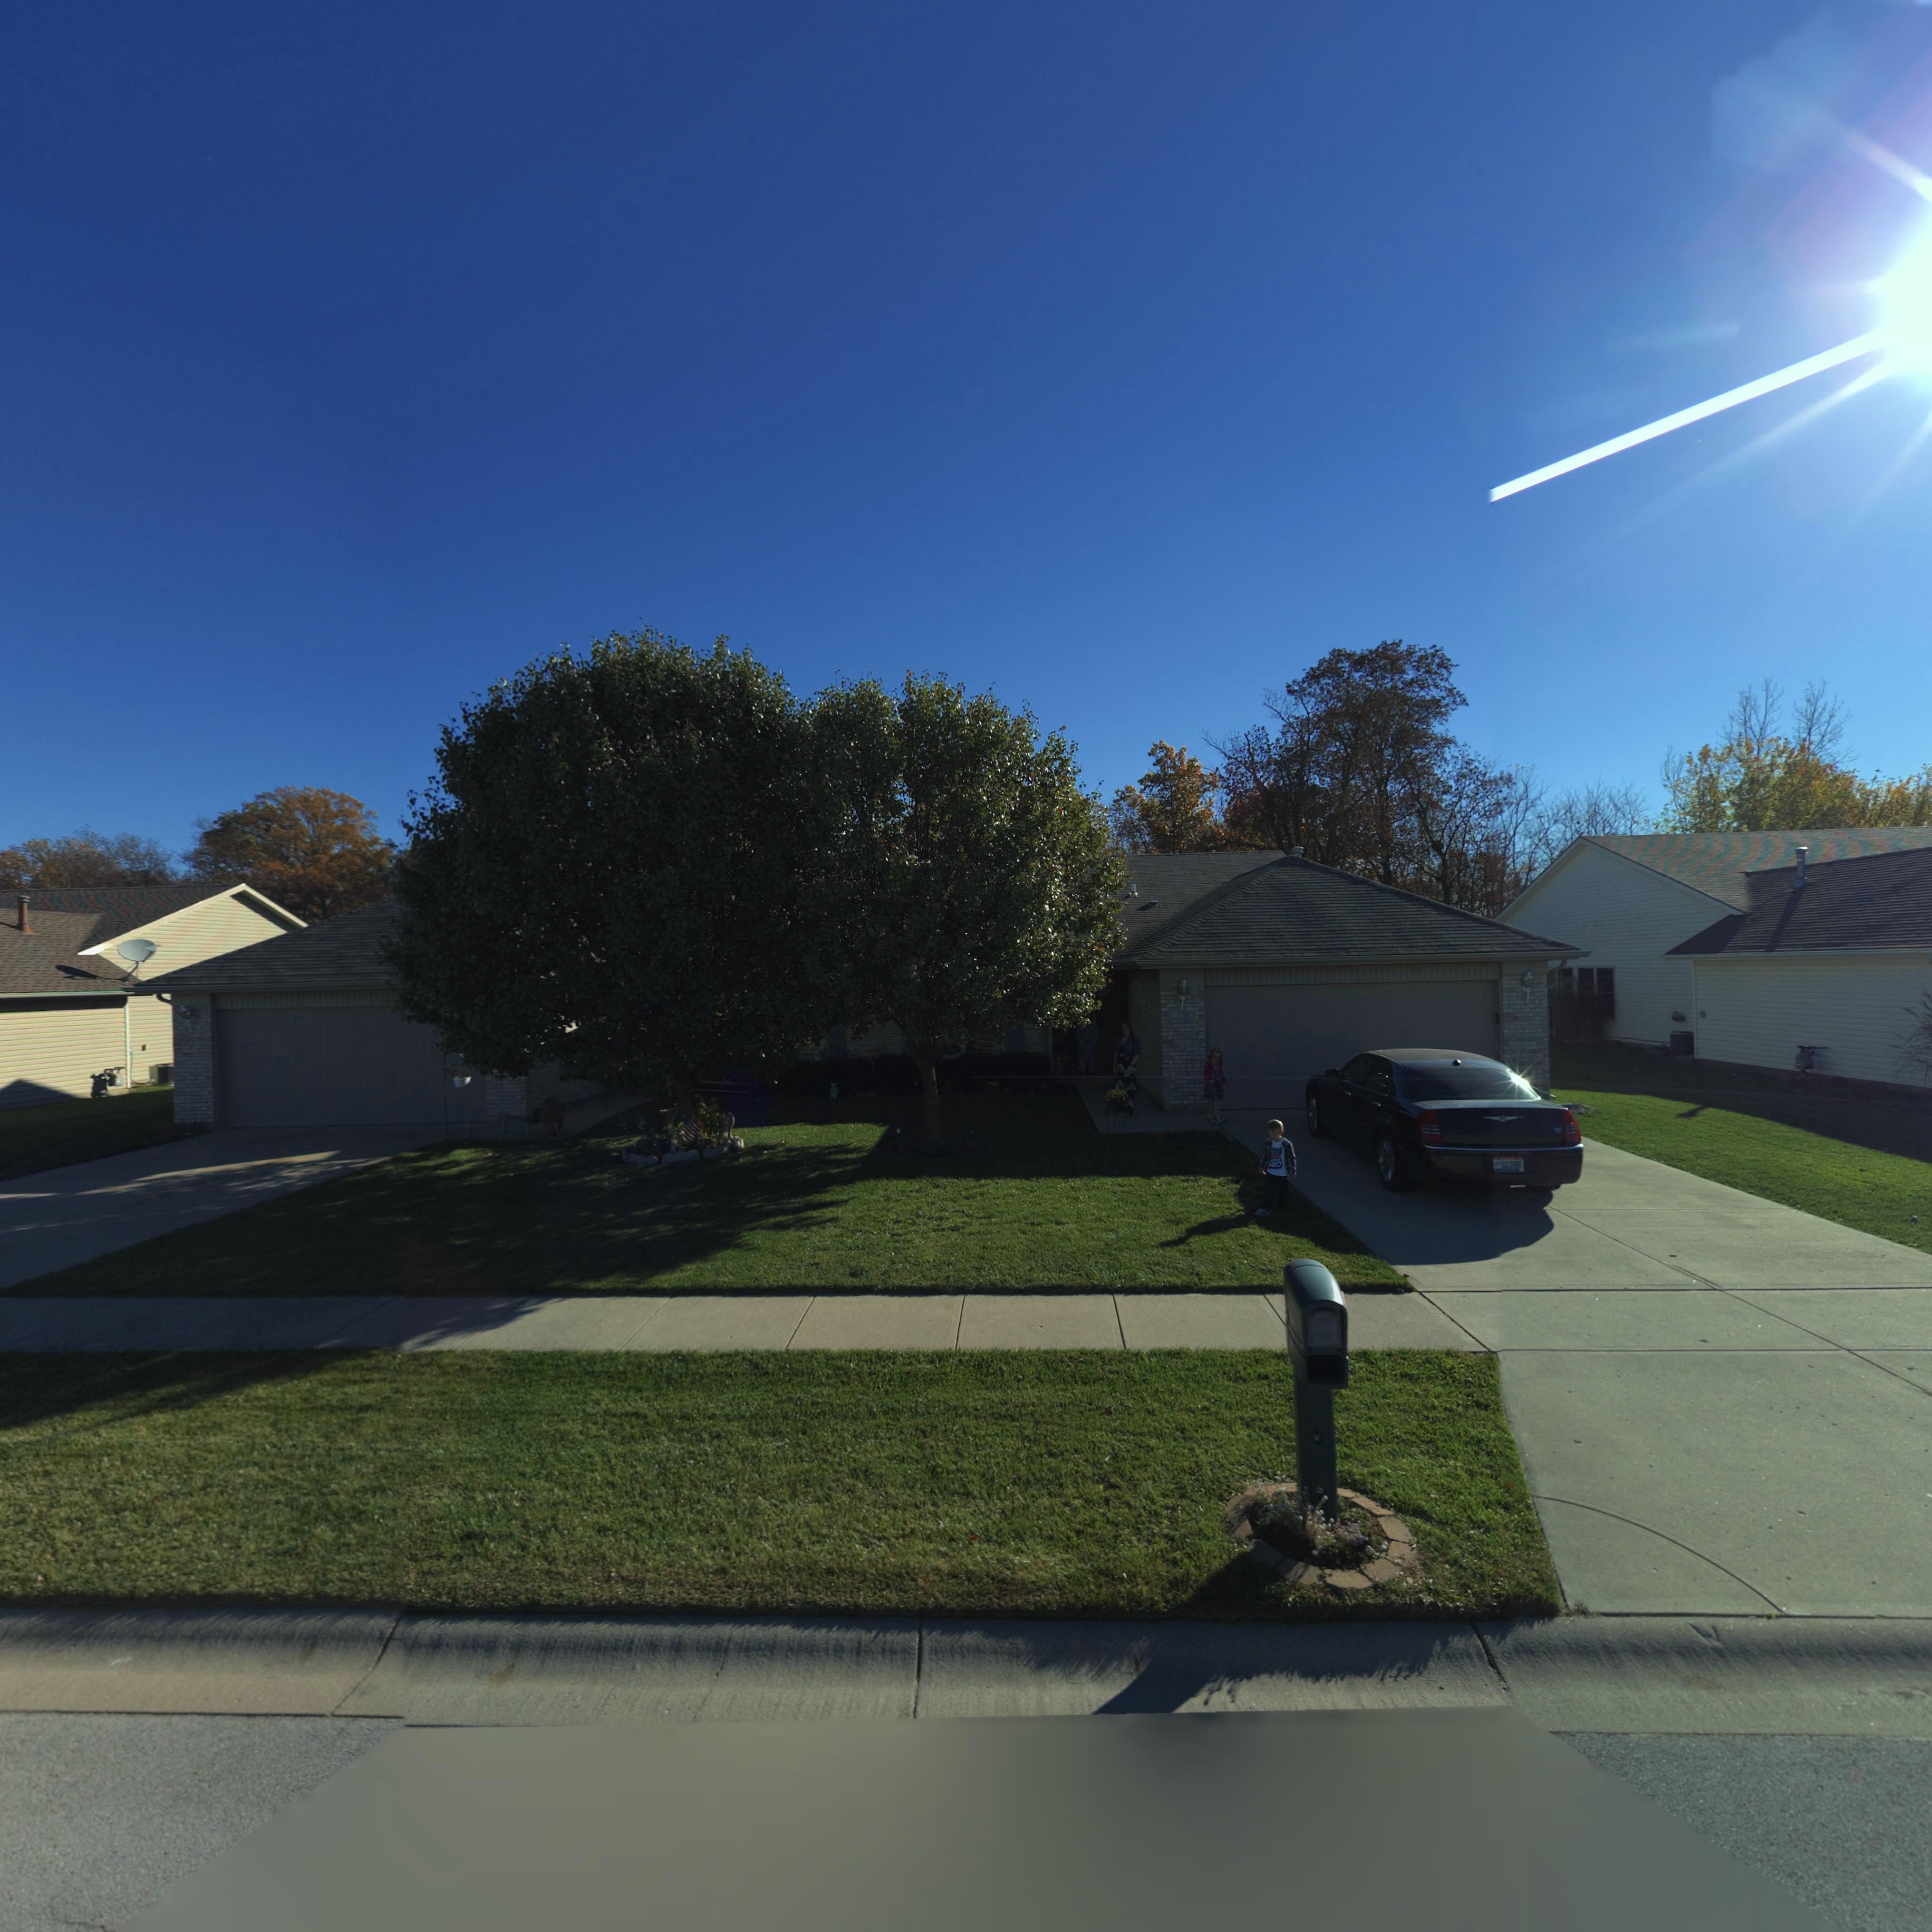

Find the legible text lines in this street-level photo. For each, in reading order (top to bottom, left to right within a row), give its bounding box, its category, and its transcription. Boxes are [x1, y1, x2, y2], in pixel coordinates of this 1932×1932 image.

[1177, 1012, 1188, 1018] StreetNumber: 179